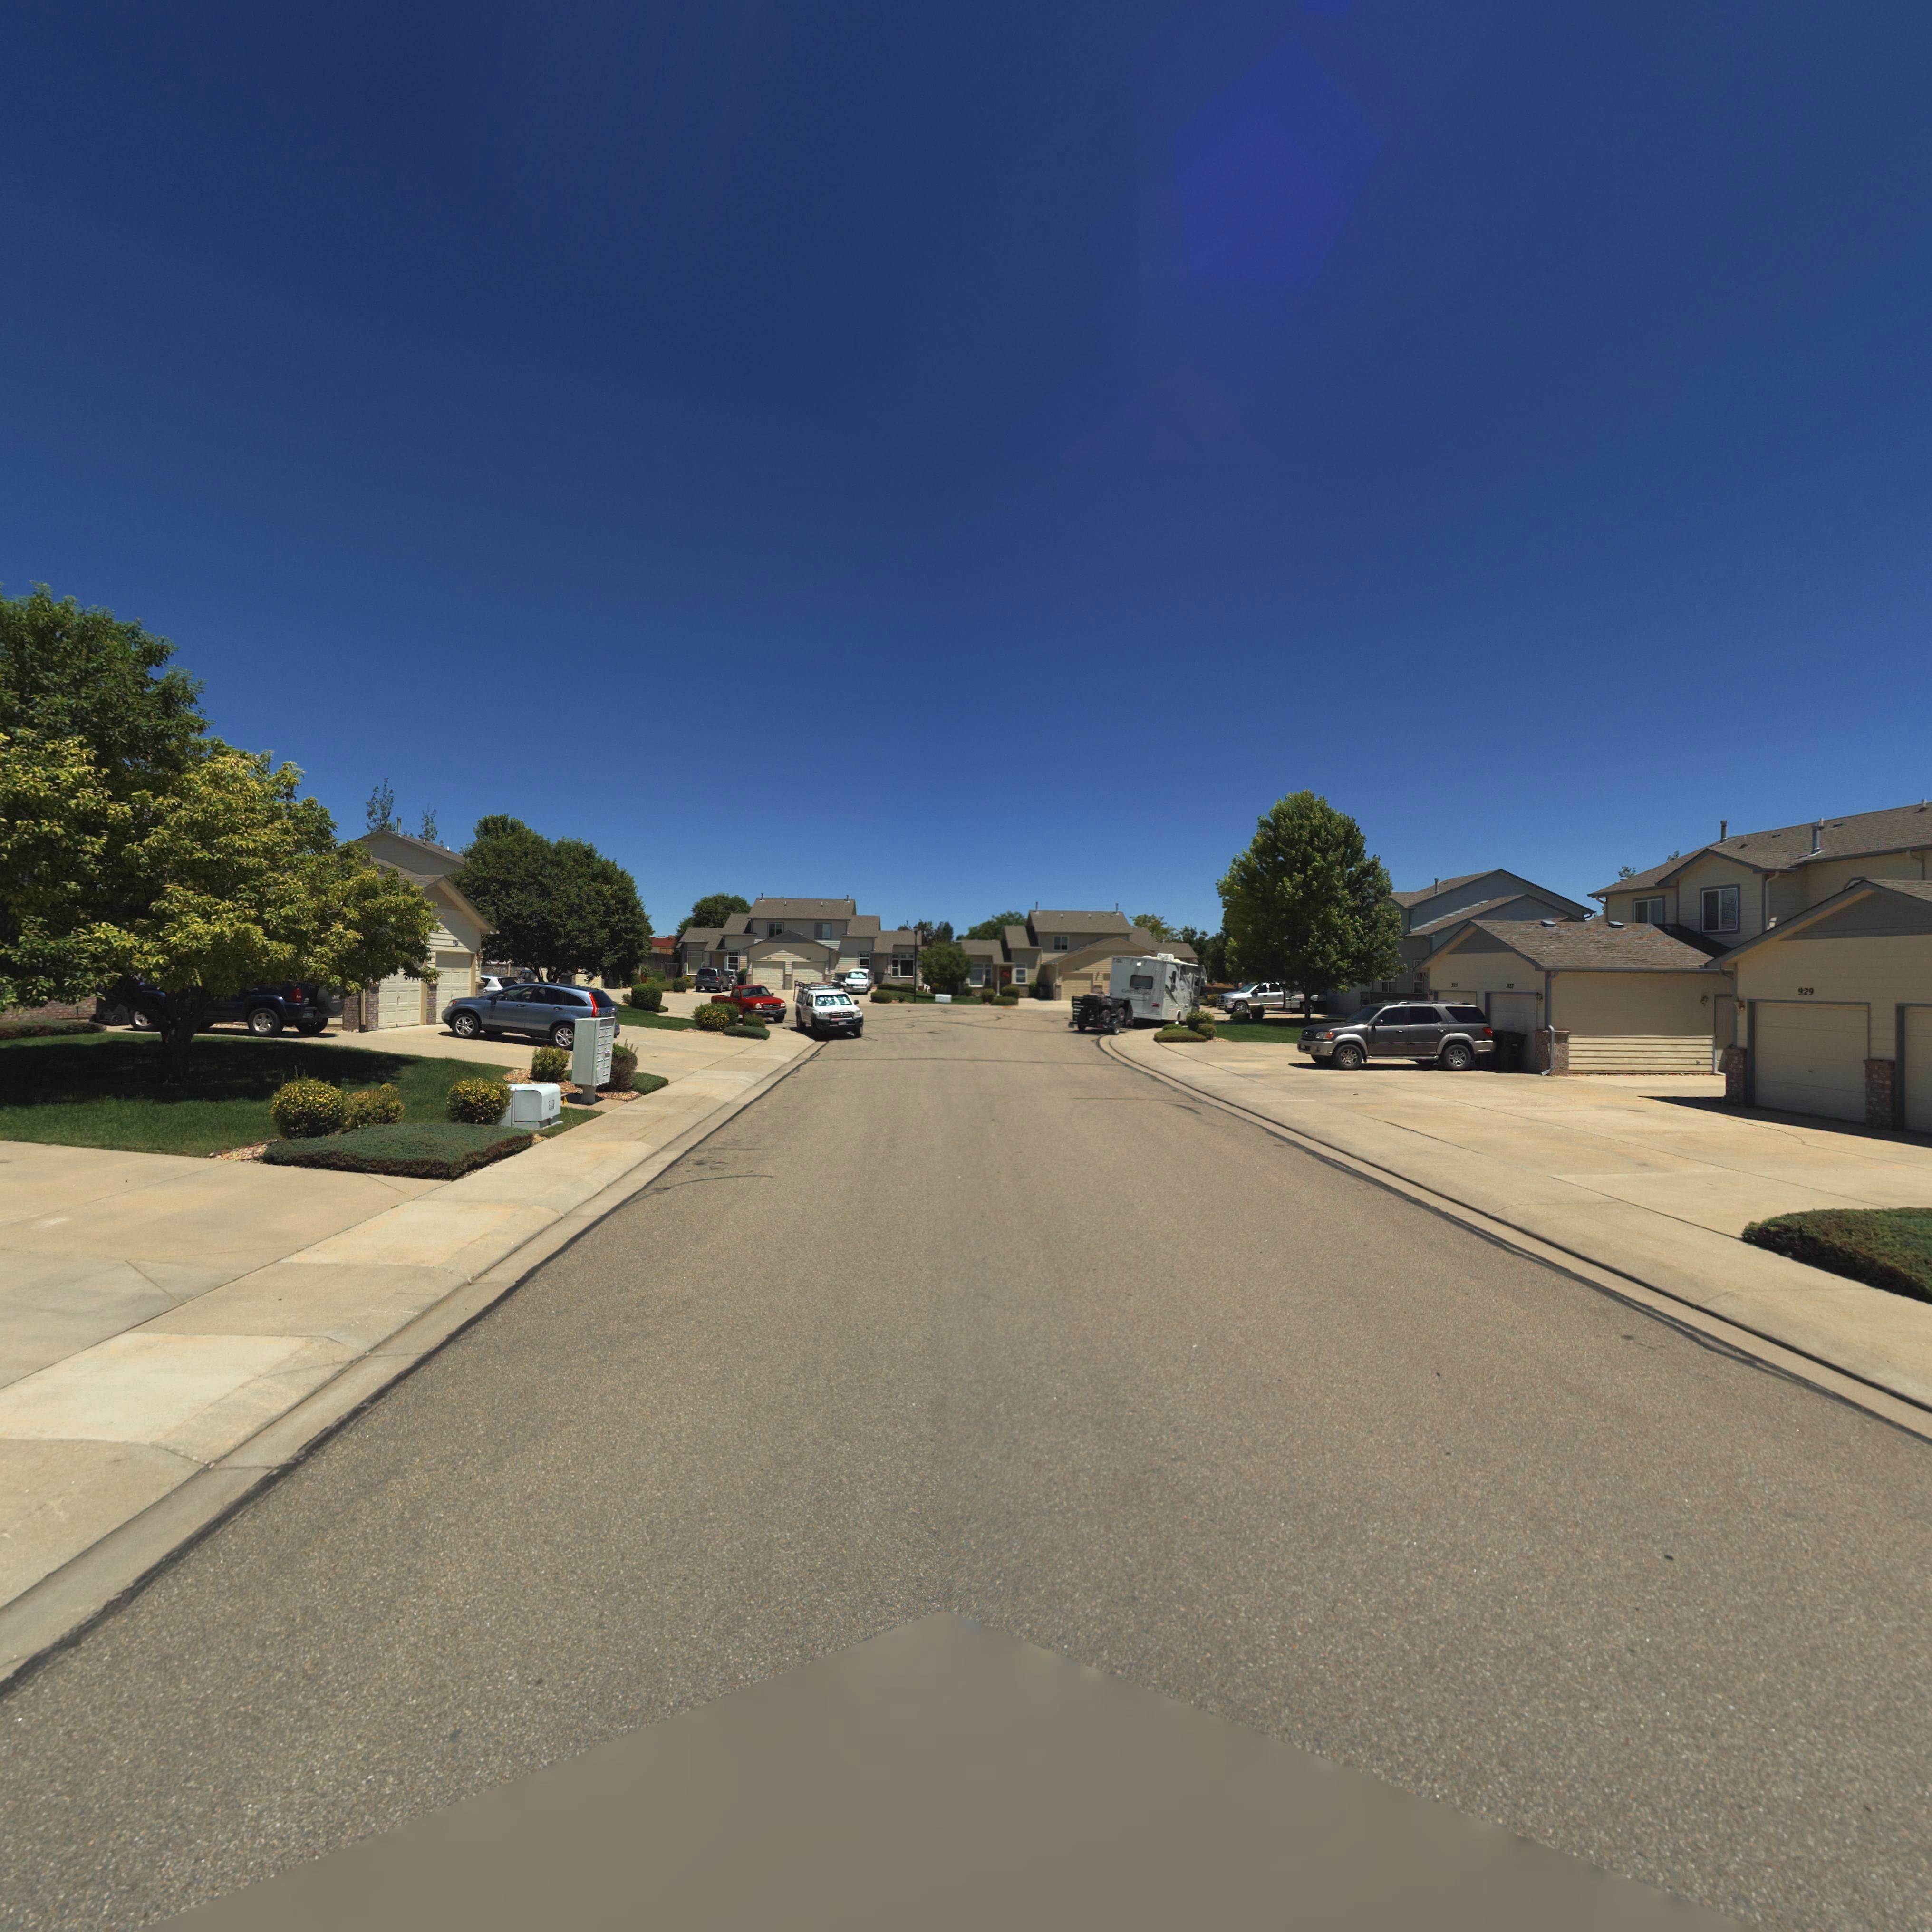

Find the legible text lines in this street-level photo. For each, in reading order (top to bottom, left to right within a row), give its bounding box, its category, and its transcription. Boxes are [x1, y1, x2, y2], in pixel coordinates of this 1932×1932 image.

[1450, 982, 1458, 987] StreetNumber: 925
[1506, 983, 1515, 989] StreetNumber: 927
[1797, 987, 1814, 995] StreetNumber: 929